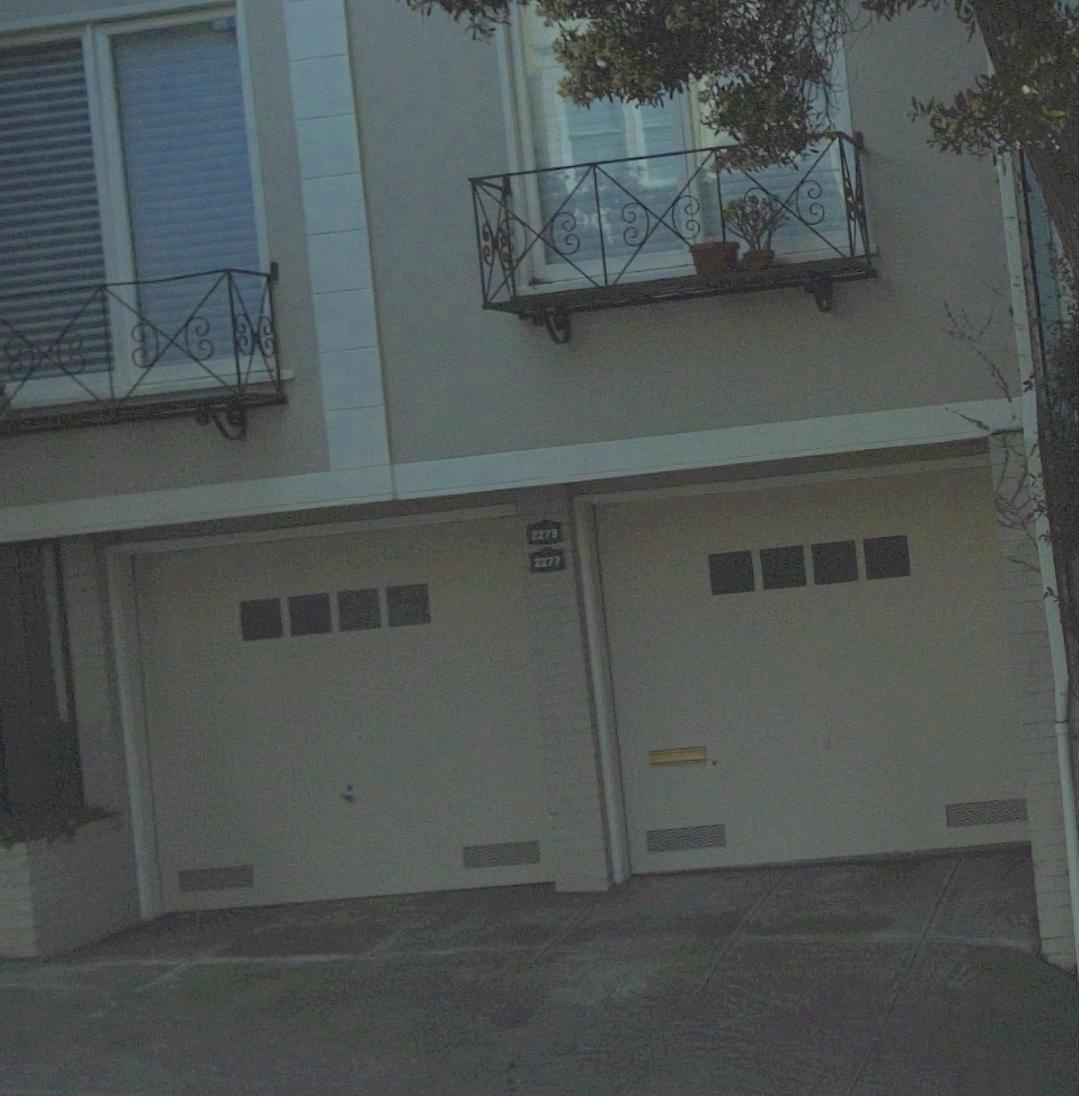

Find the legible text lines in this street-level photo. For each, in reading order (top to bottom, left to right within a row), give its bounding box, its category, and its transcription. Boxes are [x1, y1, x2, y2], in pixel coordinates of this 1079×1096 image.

[530, 525, 559, 543] StreetNumber: 2278
[533, 553, 562, 569] StreetNumber: 2277